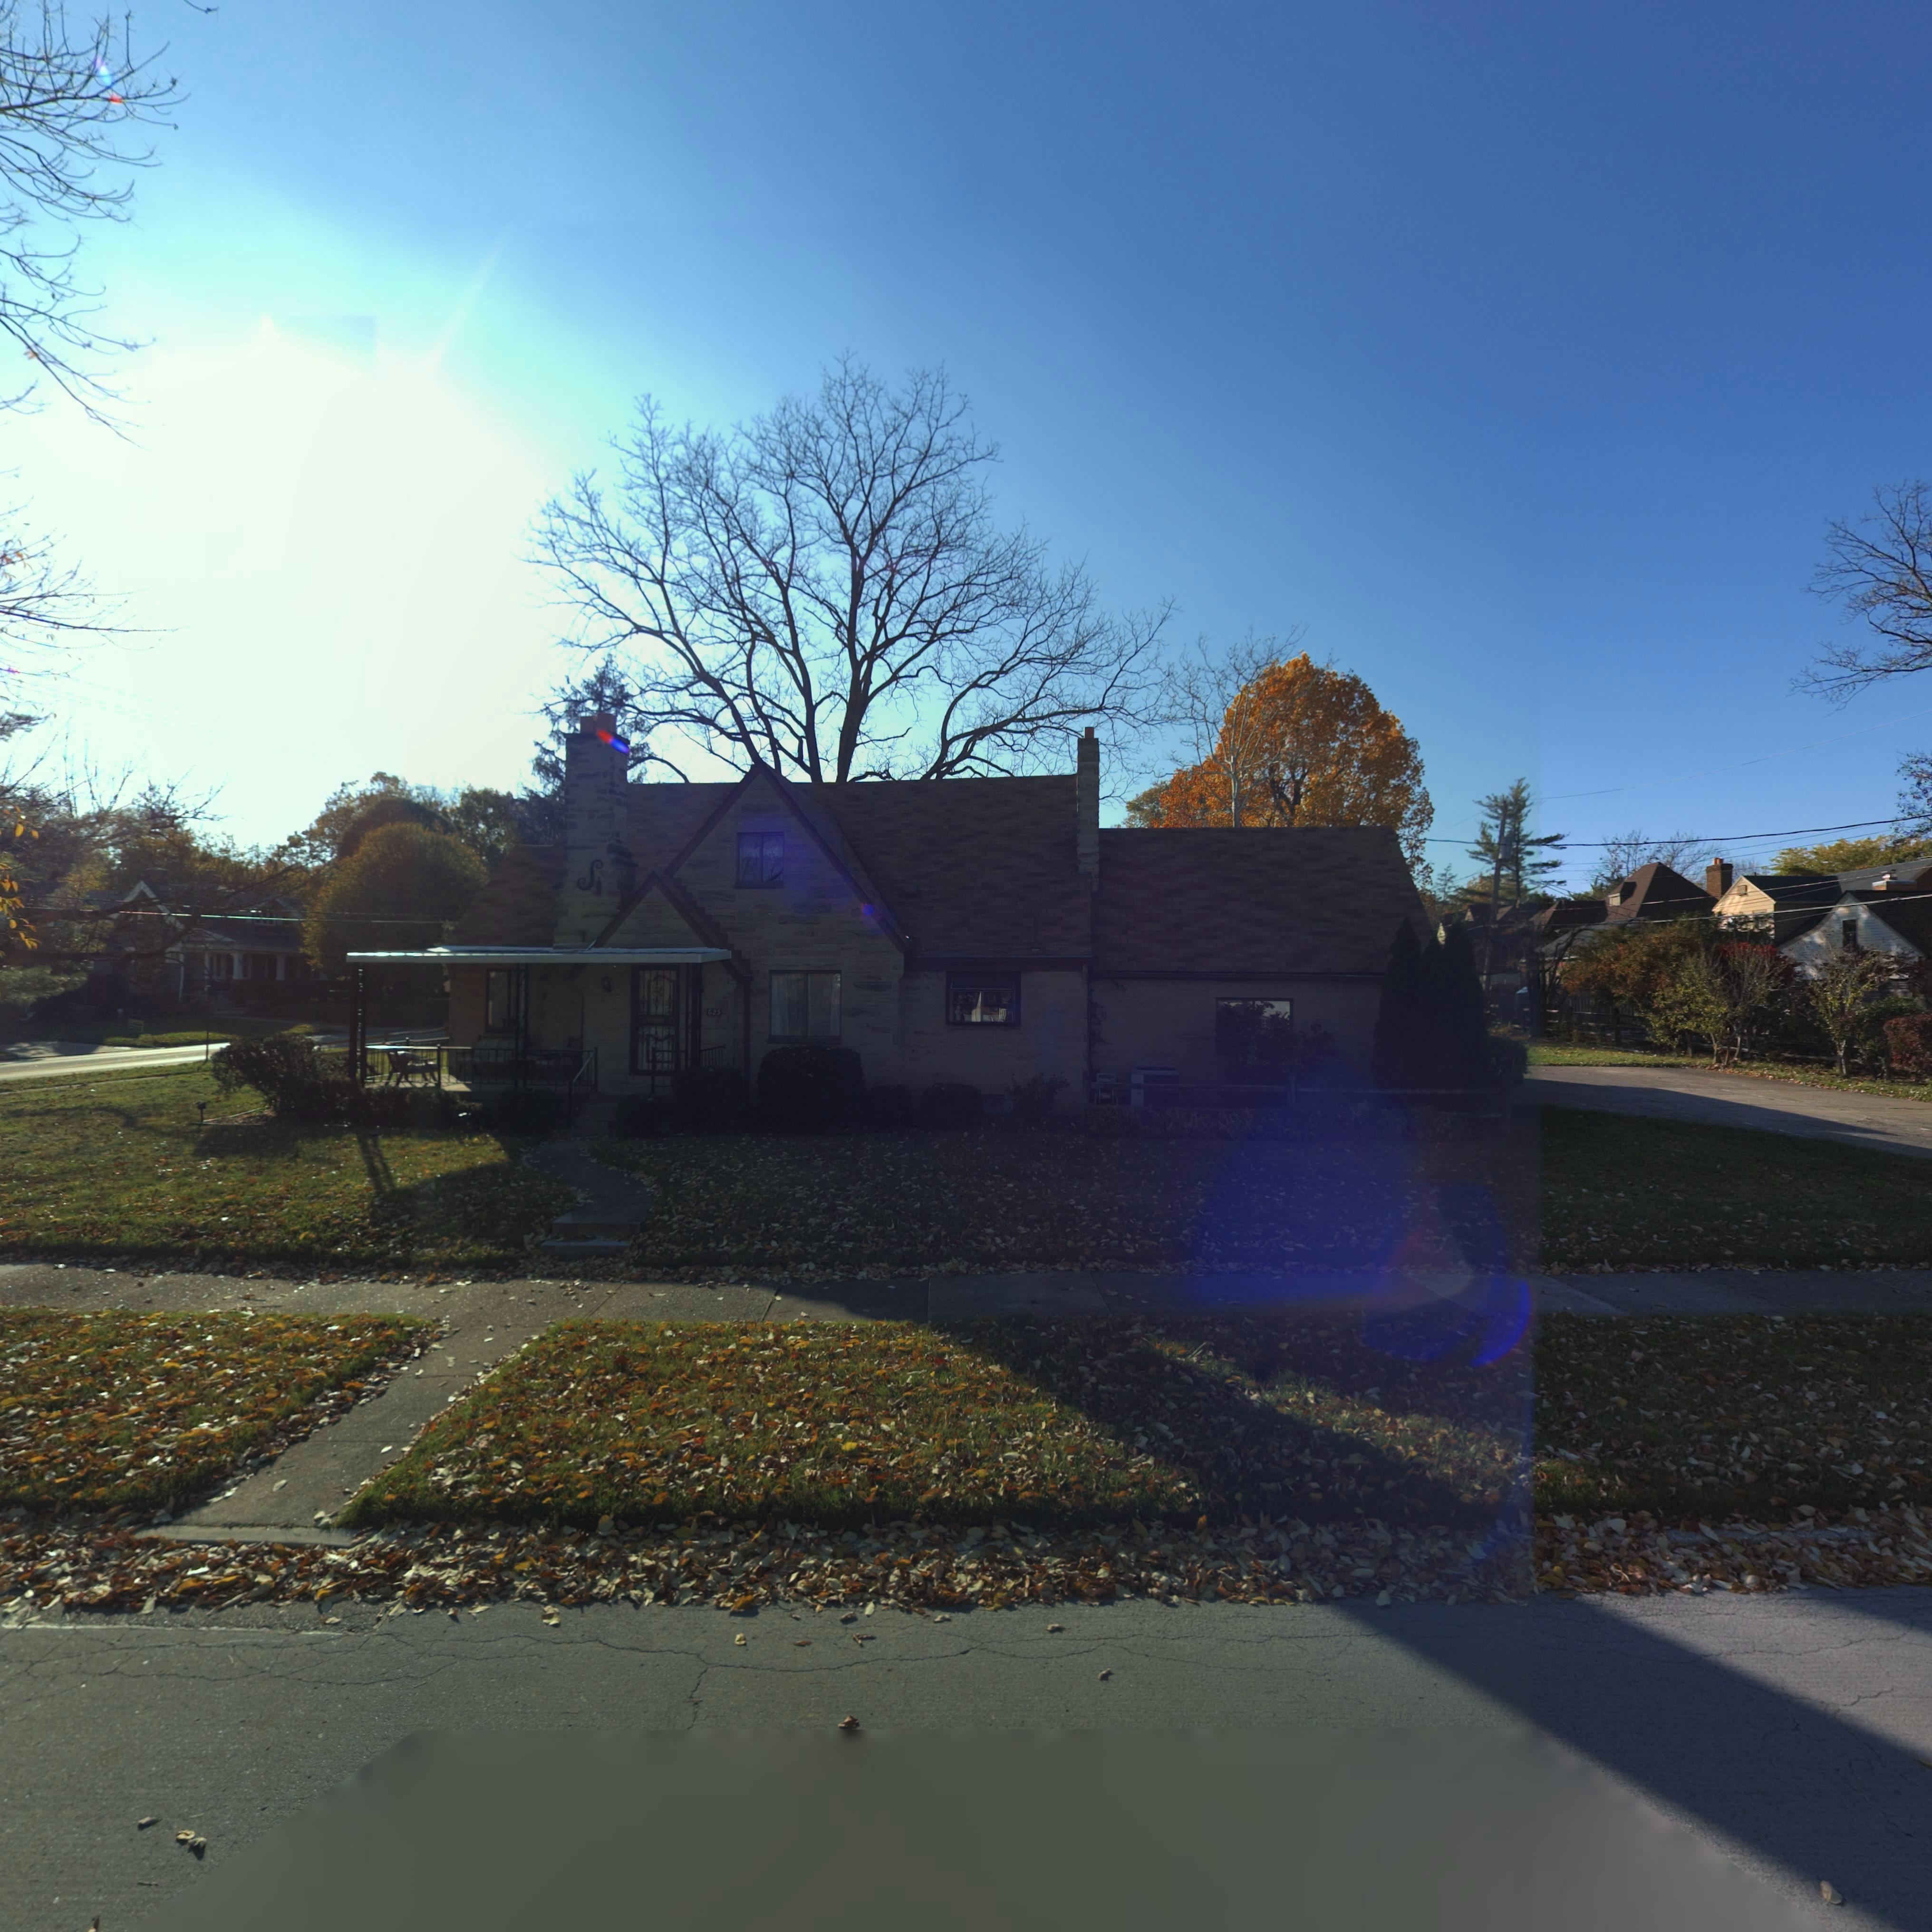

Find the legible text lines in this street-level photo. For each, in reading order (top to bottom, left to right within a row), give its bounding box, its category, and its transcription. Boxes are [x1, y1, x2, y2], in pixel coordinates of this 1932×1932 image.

[707, 1008, 721, 1015] StreetNumber: 625